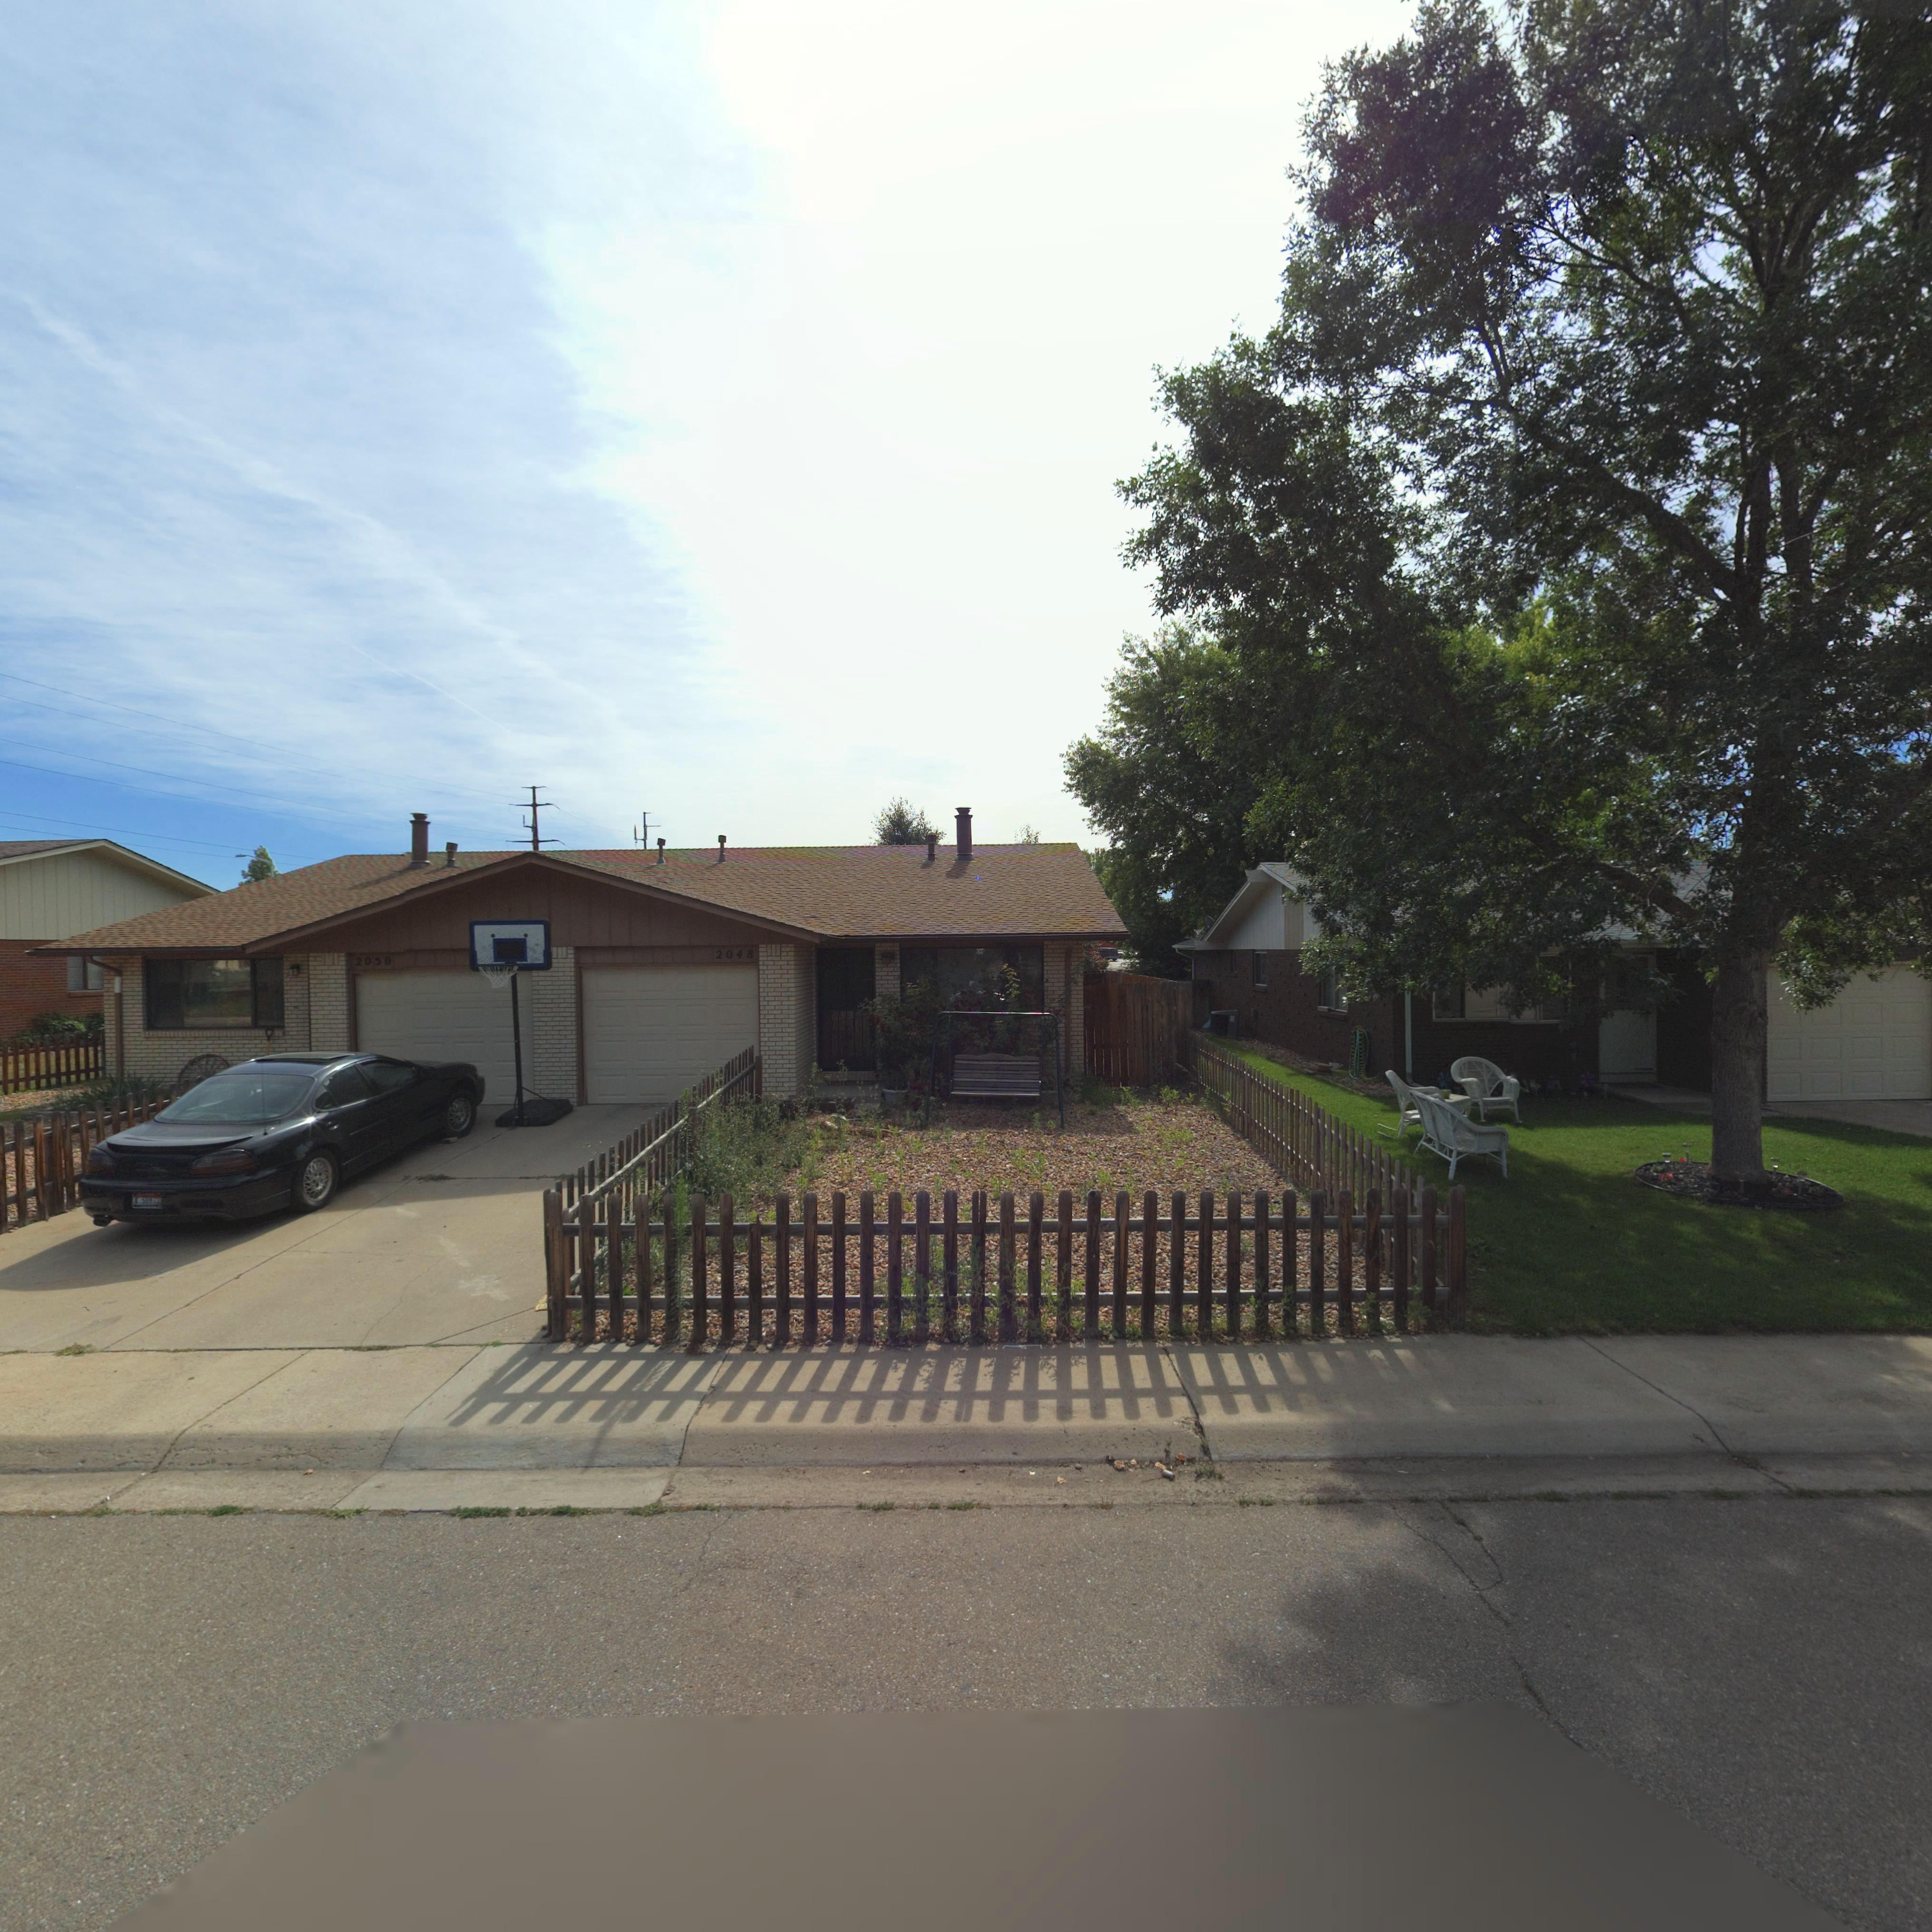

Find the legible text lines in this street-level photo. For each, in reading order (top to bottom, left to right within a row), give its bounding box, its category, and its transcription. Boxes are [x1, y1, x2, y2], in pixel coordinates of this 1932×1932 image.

[715, 948, 753, 959] StreetNumber: 2048
[354, 956, 391, 966] StreetNumber: 2050